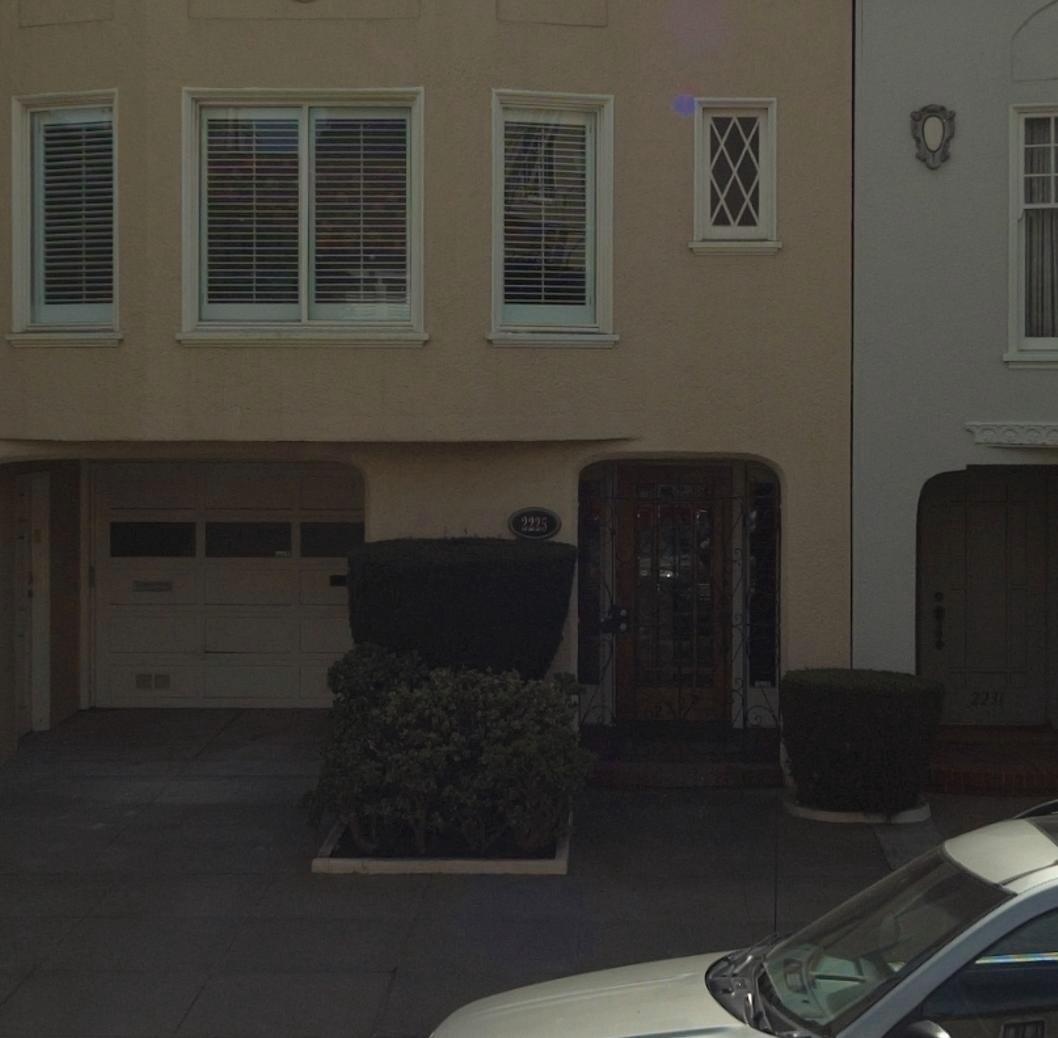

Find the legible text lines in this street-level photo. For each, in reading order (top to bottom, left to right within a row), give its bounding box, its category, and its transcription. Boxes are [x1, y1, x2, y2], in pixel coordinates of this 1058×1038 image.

[519, 514, 549, 534] StreetNumber: 2225
[968, 689, 1008, 709] StreetNumber: 2231